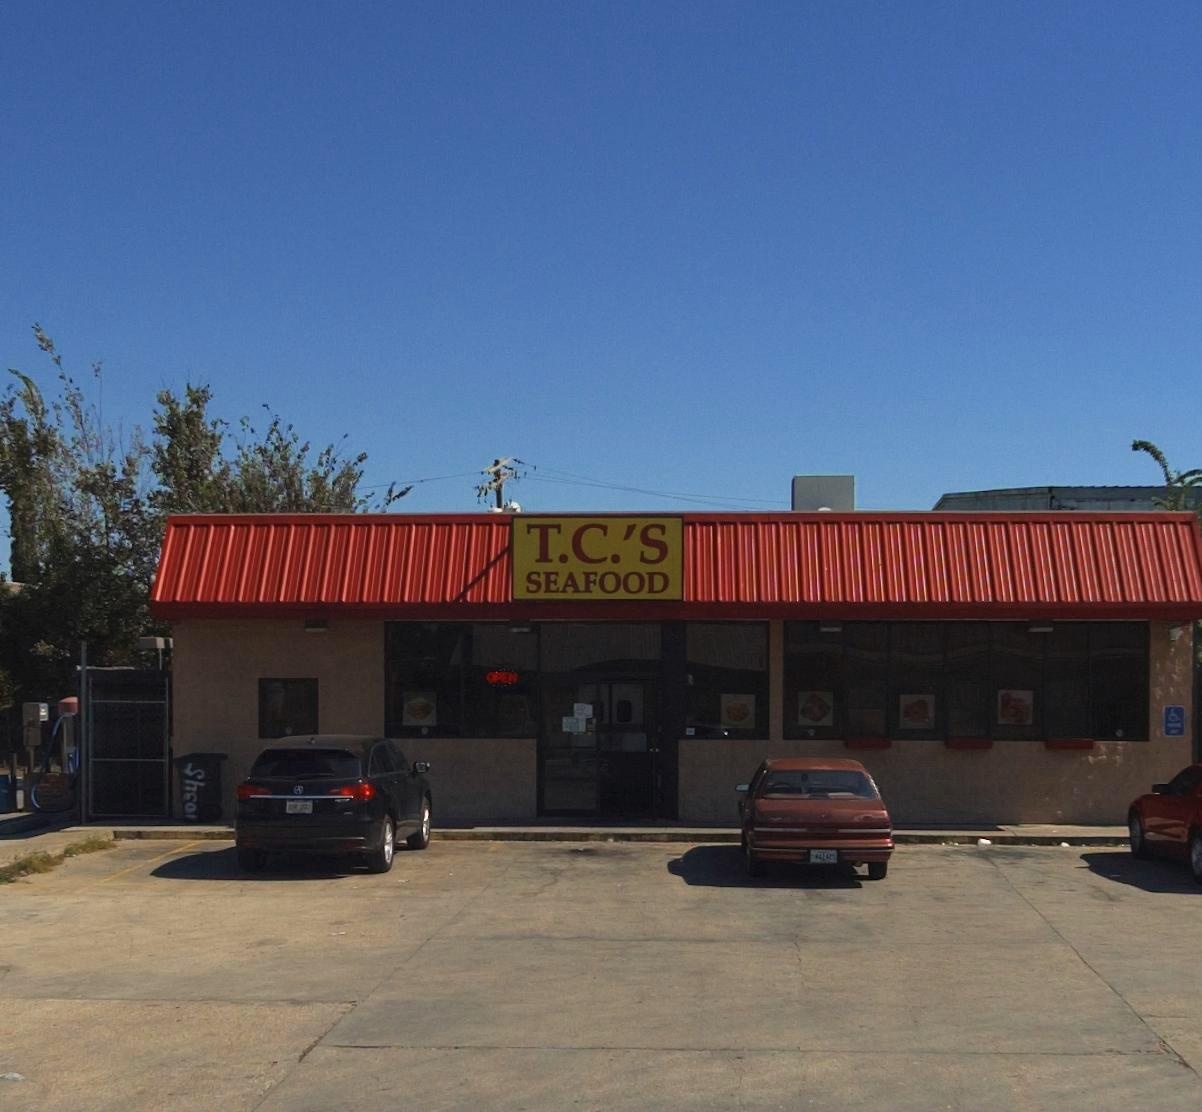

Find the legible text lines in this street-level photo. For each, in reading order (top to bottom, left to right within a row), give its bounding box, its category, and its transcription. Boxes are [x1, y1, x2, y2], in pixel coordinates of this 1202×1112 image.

[524, 520, 670, 567] BusinessName: T.C.'S
[523, 568, 673, 596] BusinessName: SEAFOOD
[482, 670, 520, 686] None: OPEN
[179, 759, 210, 823] None: Sh*O1